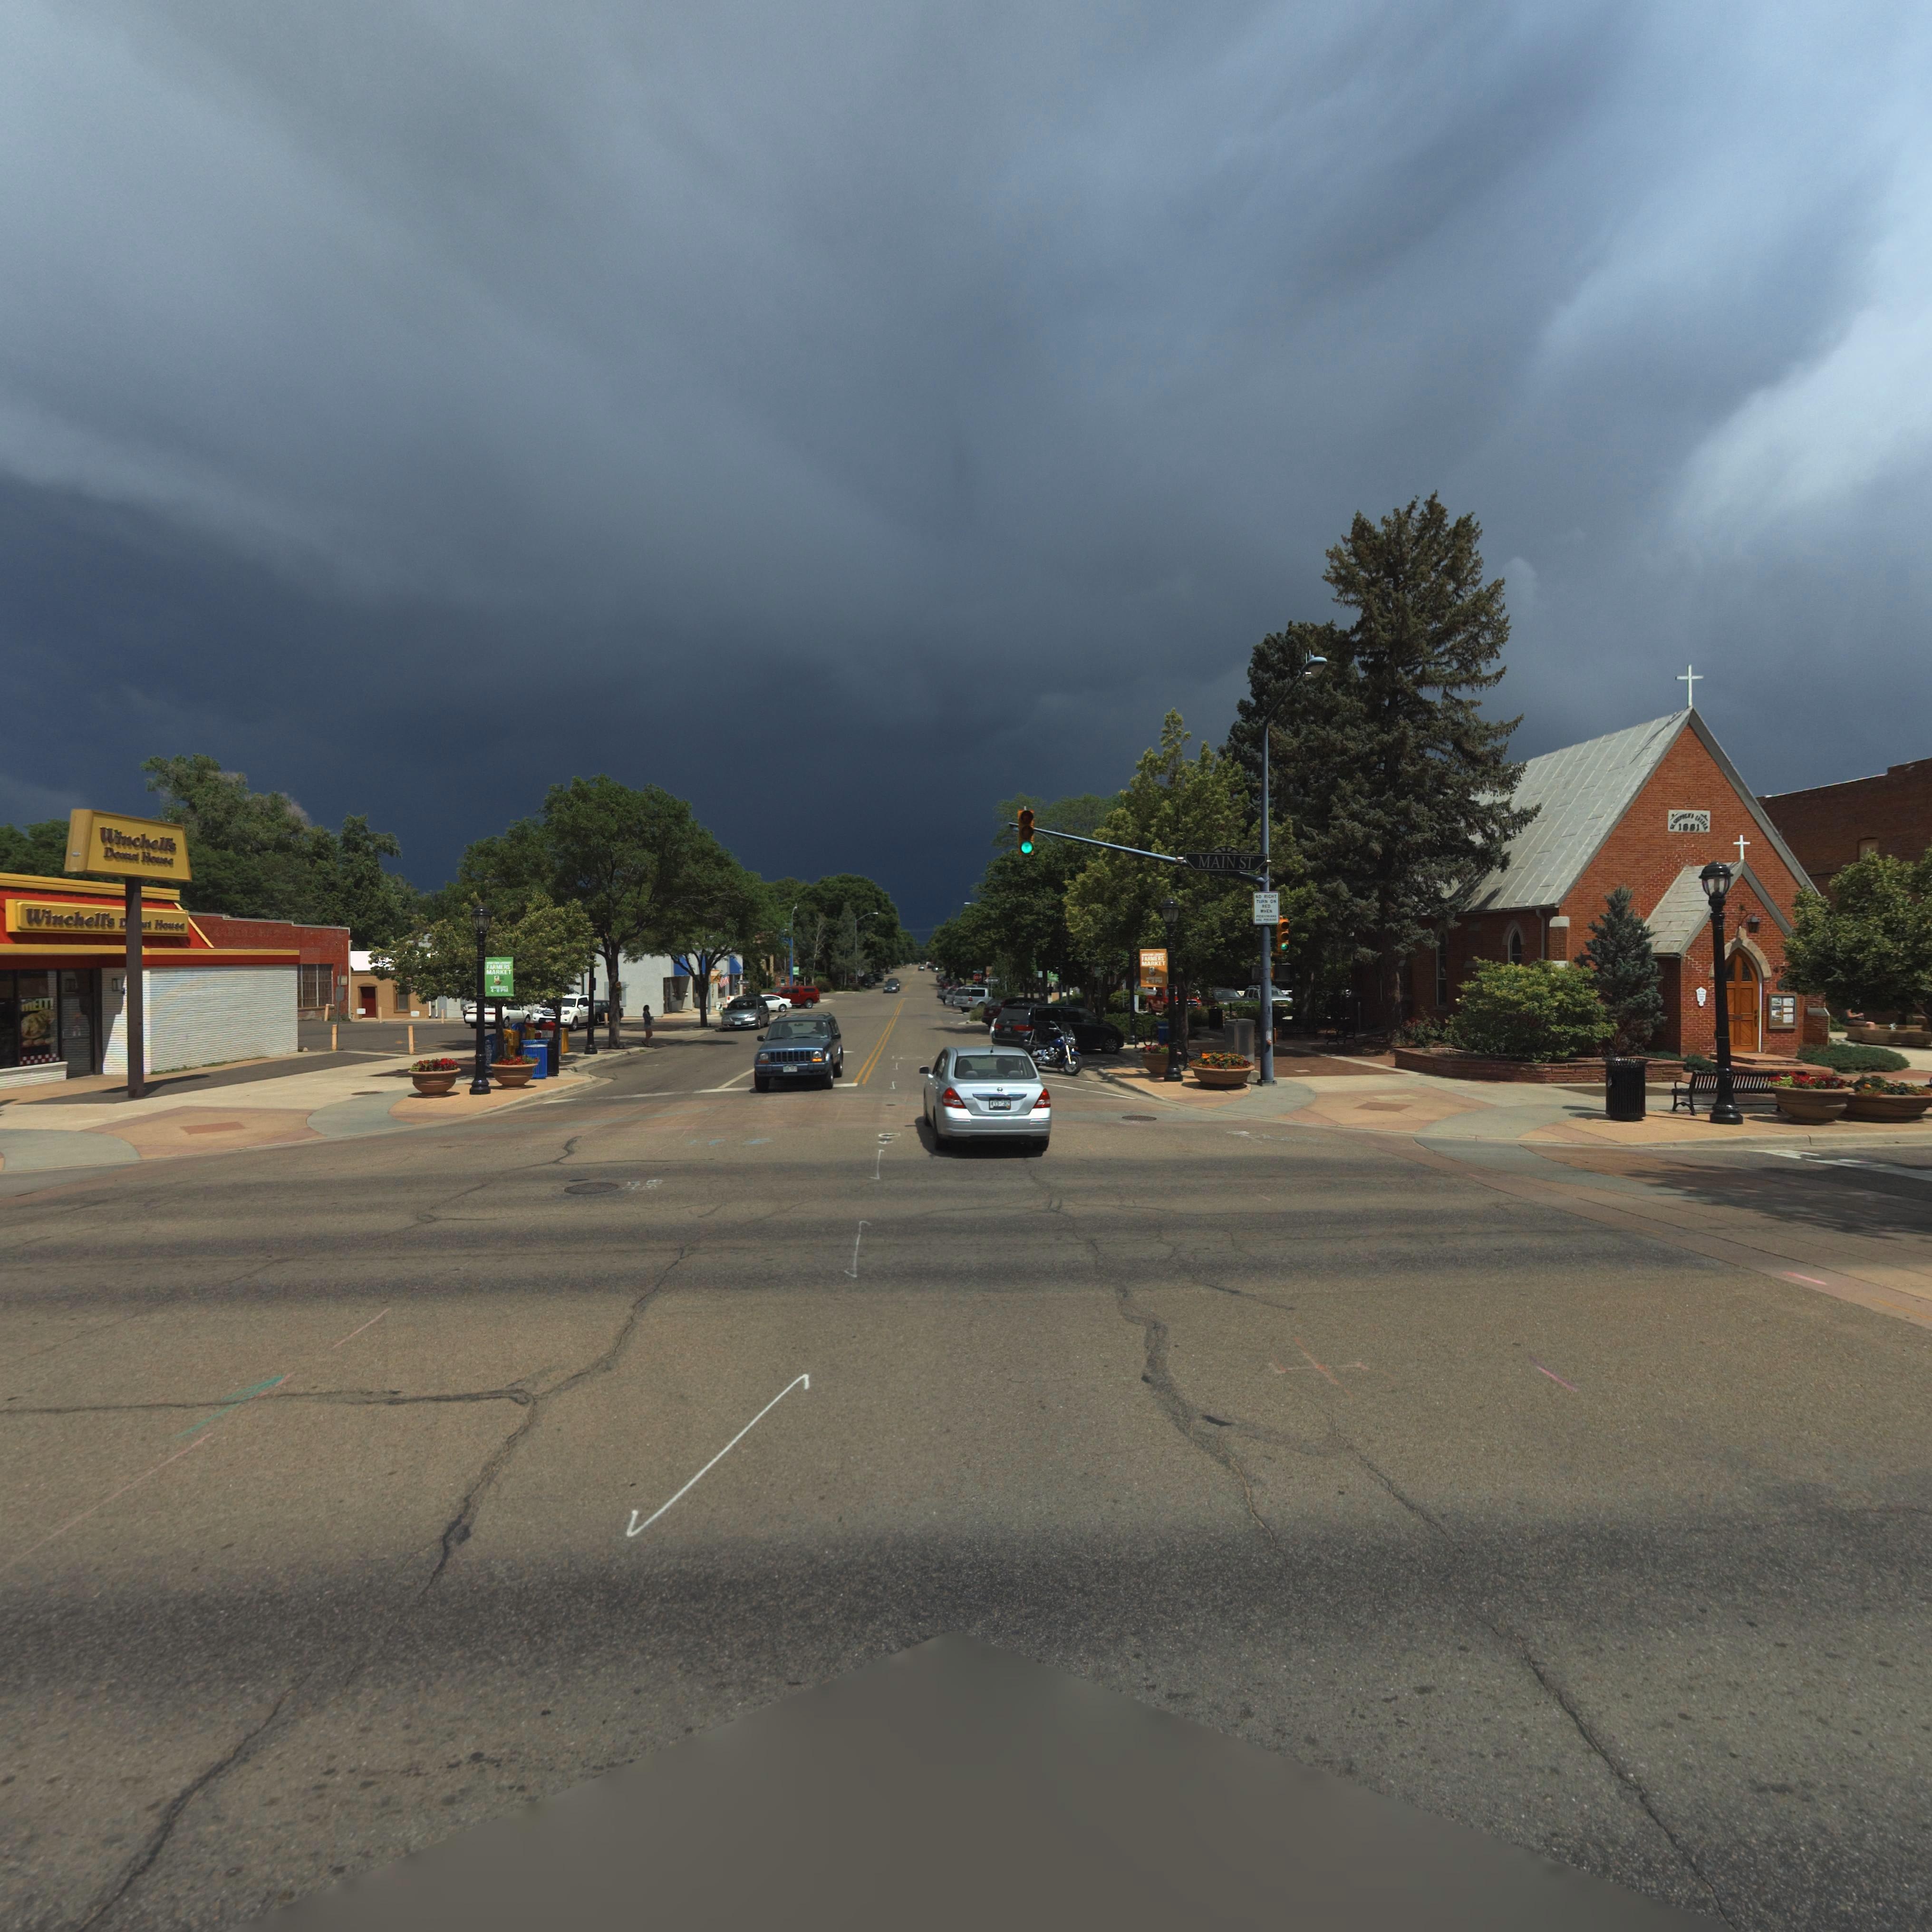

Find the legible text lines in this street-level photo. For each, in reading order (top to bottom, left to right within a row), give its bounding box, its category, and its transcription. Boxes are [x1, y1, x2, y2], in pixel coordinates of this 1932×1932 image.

[1679, 823, 1699, 830] StreetNumber: 1881
[1670, 812, 1709, 830] BusinessName: ST SHEPERD'S CHURCH
[99, 826, 176, 852] BusinessName: Winchell's
[103, 847, 174, 865] BusinessName: Donut House
[1198, 855, 1254, 869] StreetName: MAIN ST
[25, 907, 185, 929] BusinessName: Winchell's D**ut House